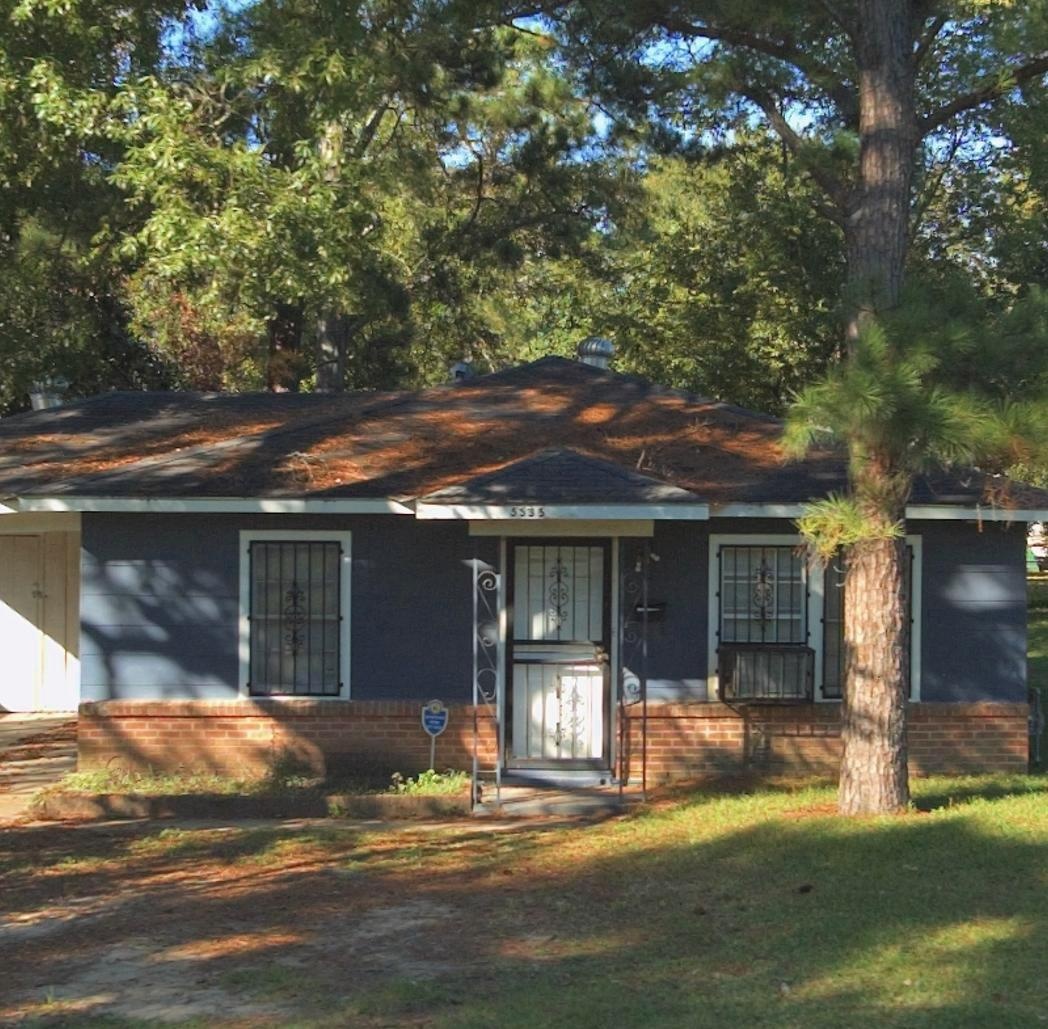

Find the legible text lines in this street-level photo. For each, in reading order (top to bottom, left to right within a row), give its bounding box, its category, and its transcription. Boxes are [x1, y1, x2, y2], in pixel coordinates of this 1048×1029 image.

[510, 505, 546, 519] StreetNumber: 5535